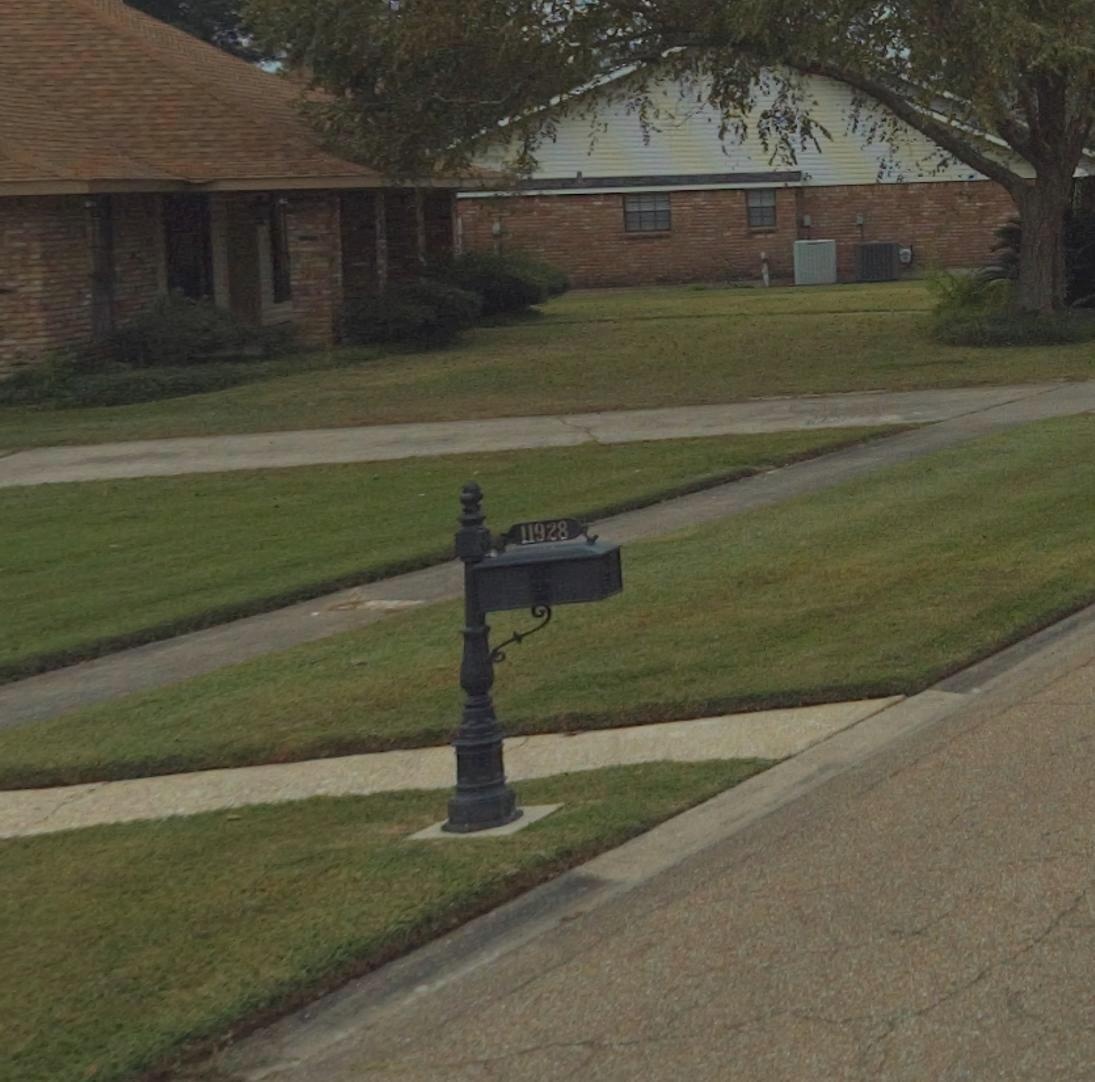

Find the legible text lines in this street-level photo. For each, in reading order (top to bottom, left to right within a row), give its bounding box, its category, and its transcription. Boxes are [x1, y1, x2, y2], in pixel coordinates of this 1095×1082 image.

[519, 519, 570, 545] StreetNumber: 11928